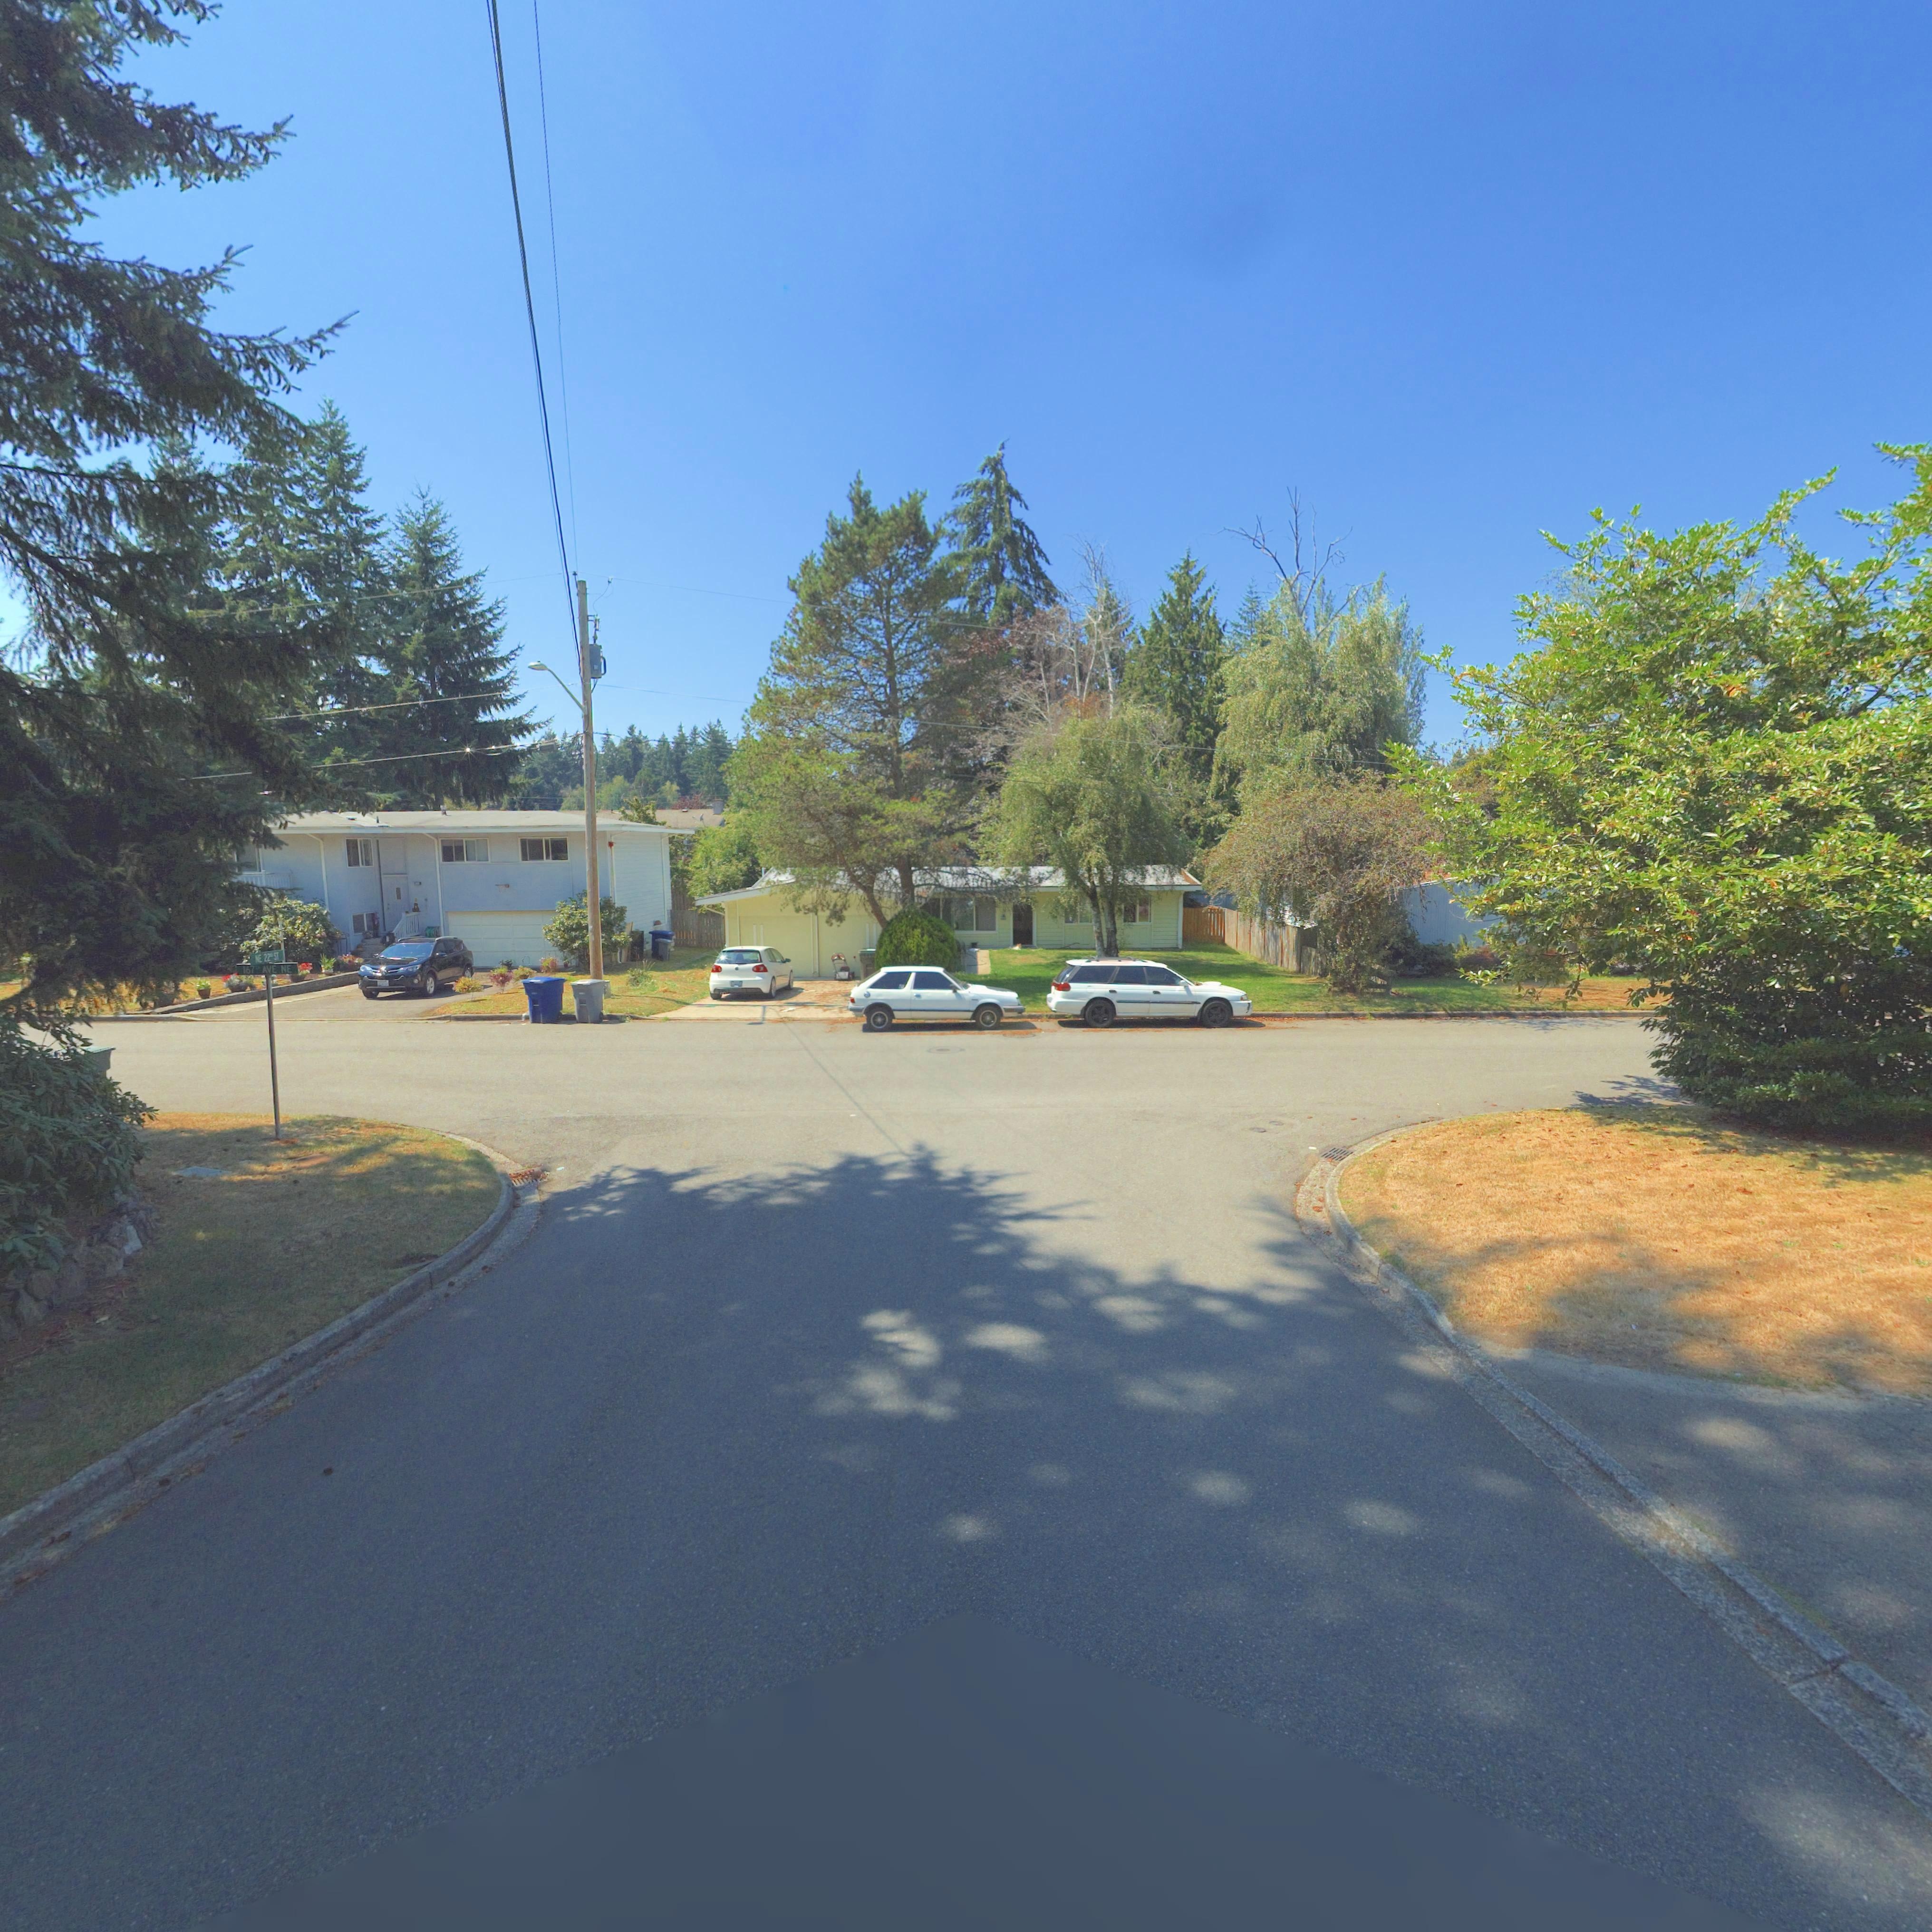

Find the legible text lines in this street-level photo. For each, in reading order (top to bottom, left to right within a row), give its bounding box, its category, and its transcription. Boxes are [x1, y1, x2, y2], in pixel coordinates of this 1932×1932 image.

[256, 952, 280, 963] StreetName: *E 22** ST
[243, 965, 291, 974] StreetName: 167 AVE NE